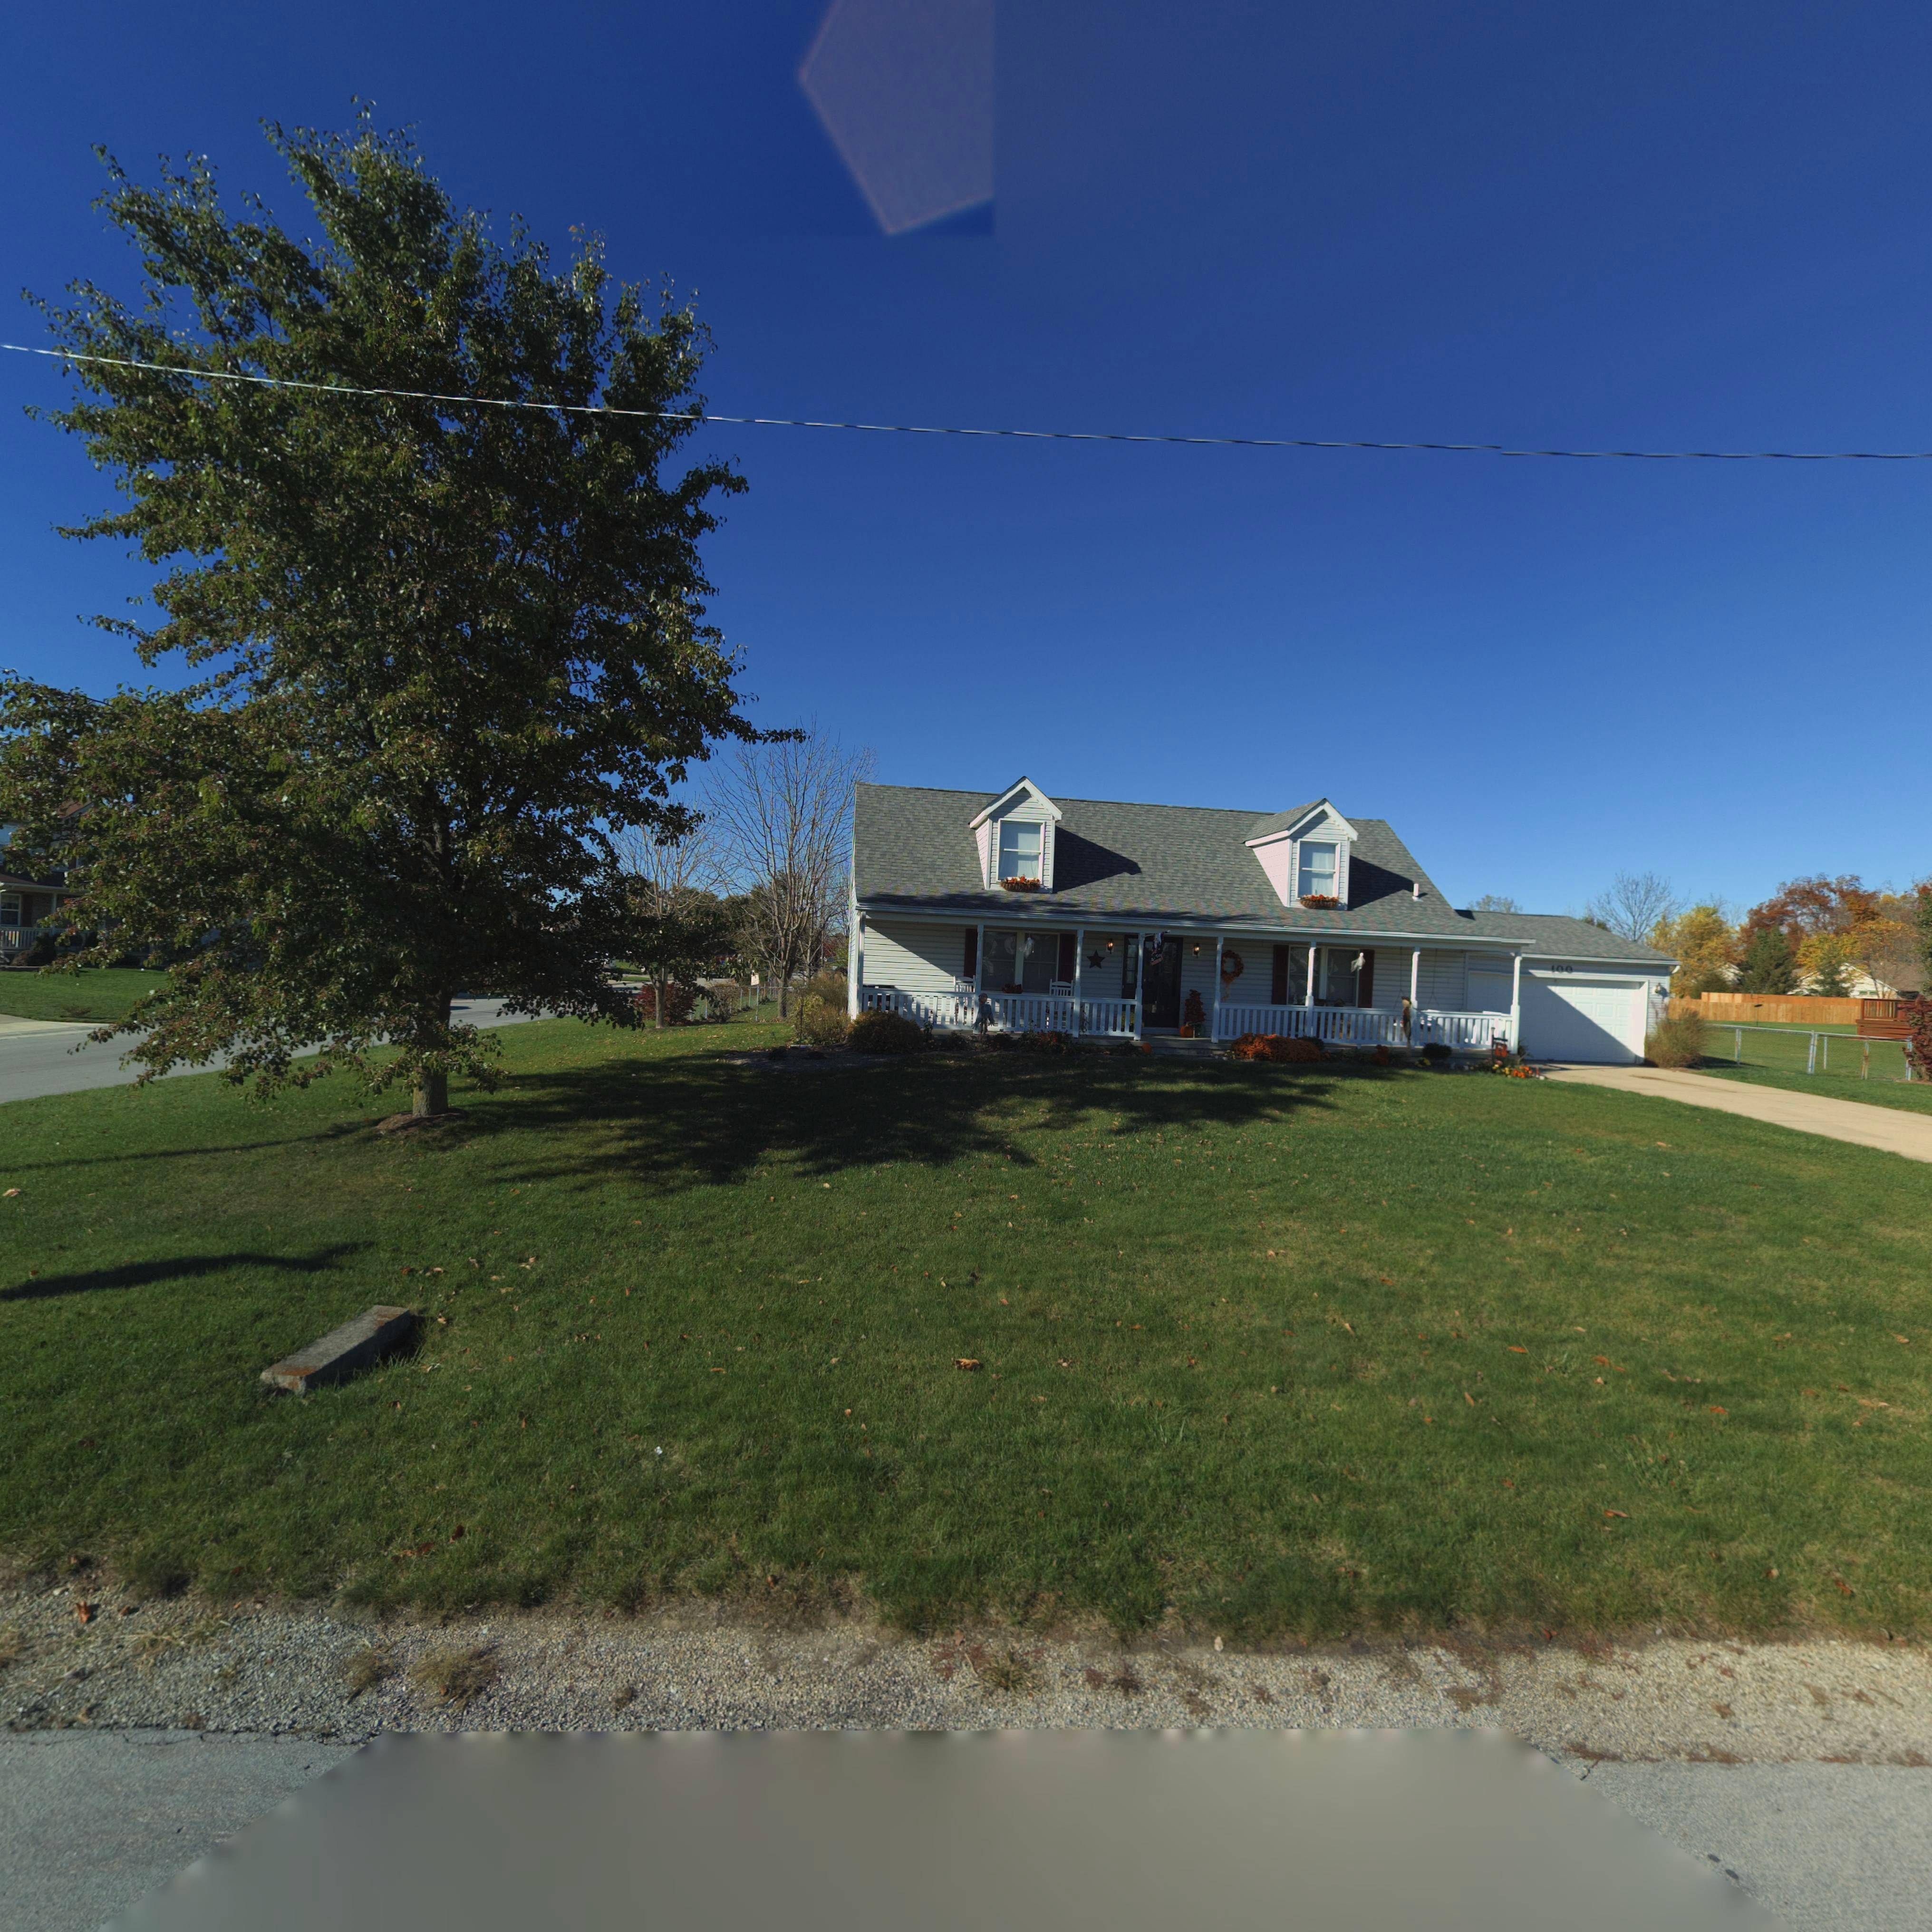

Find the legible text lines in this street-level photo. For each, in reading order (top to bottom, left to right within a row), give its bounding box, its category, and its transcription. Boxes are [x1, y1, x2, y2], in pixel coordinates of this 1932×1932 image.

[1549, 964, 1574, 974] StreetNumber: 100